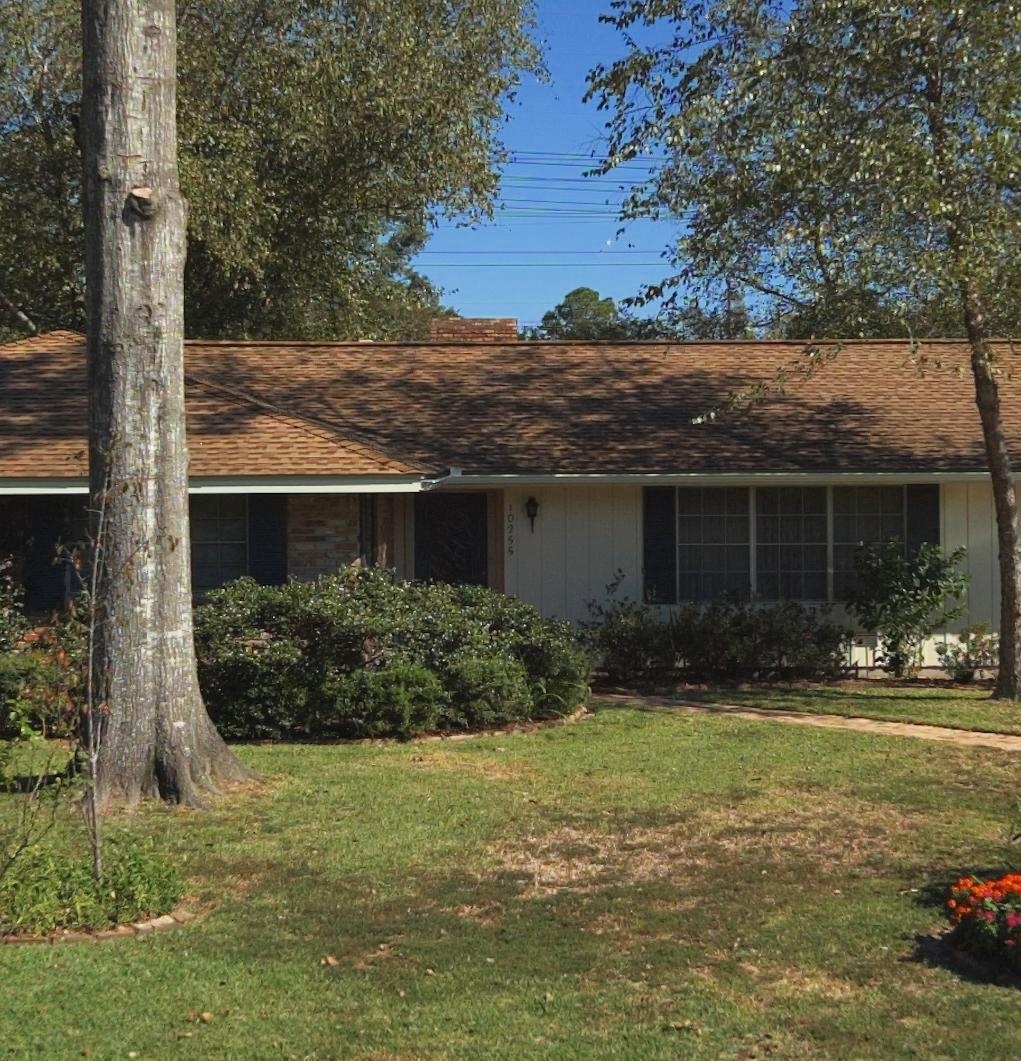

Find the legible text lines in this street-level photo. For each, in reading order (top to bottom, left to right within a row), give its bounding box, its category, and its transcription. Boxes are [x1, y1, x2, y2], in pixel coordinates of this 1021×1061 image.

[506, 502, 515, 559] StreetNumber: 10255